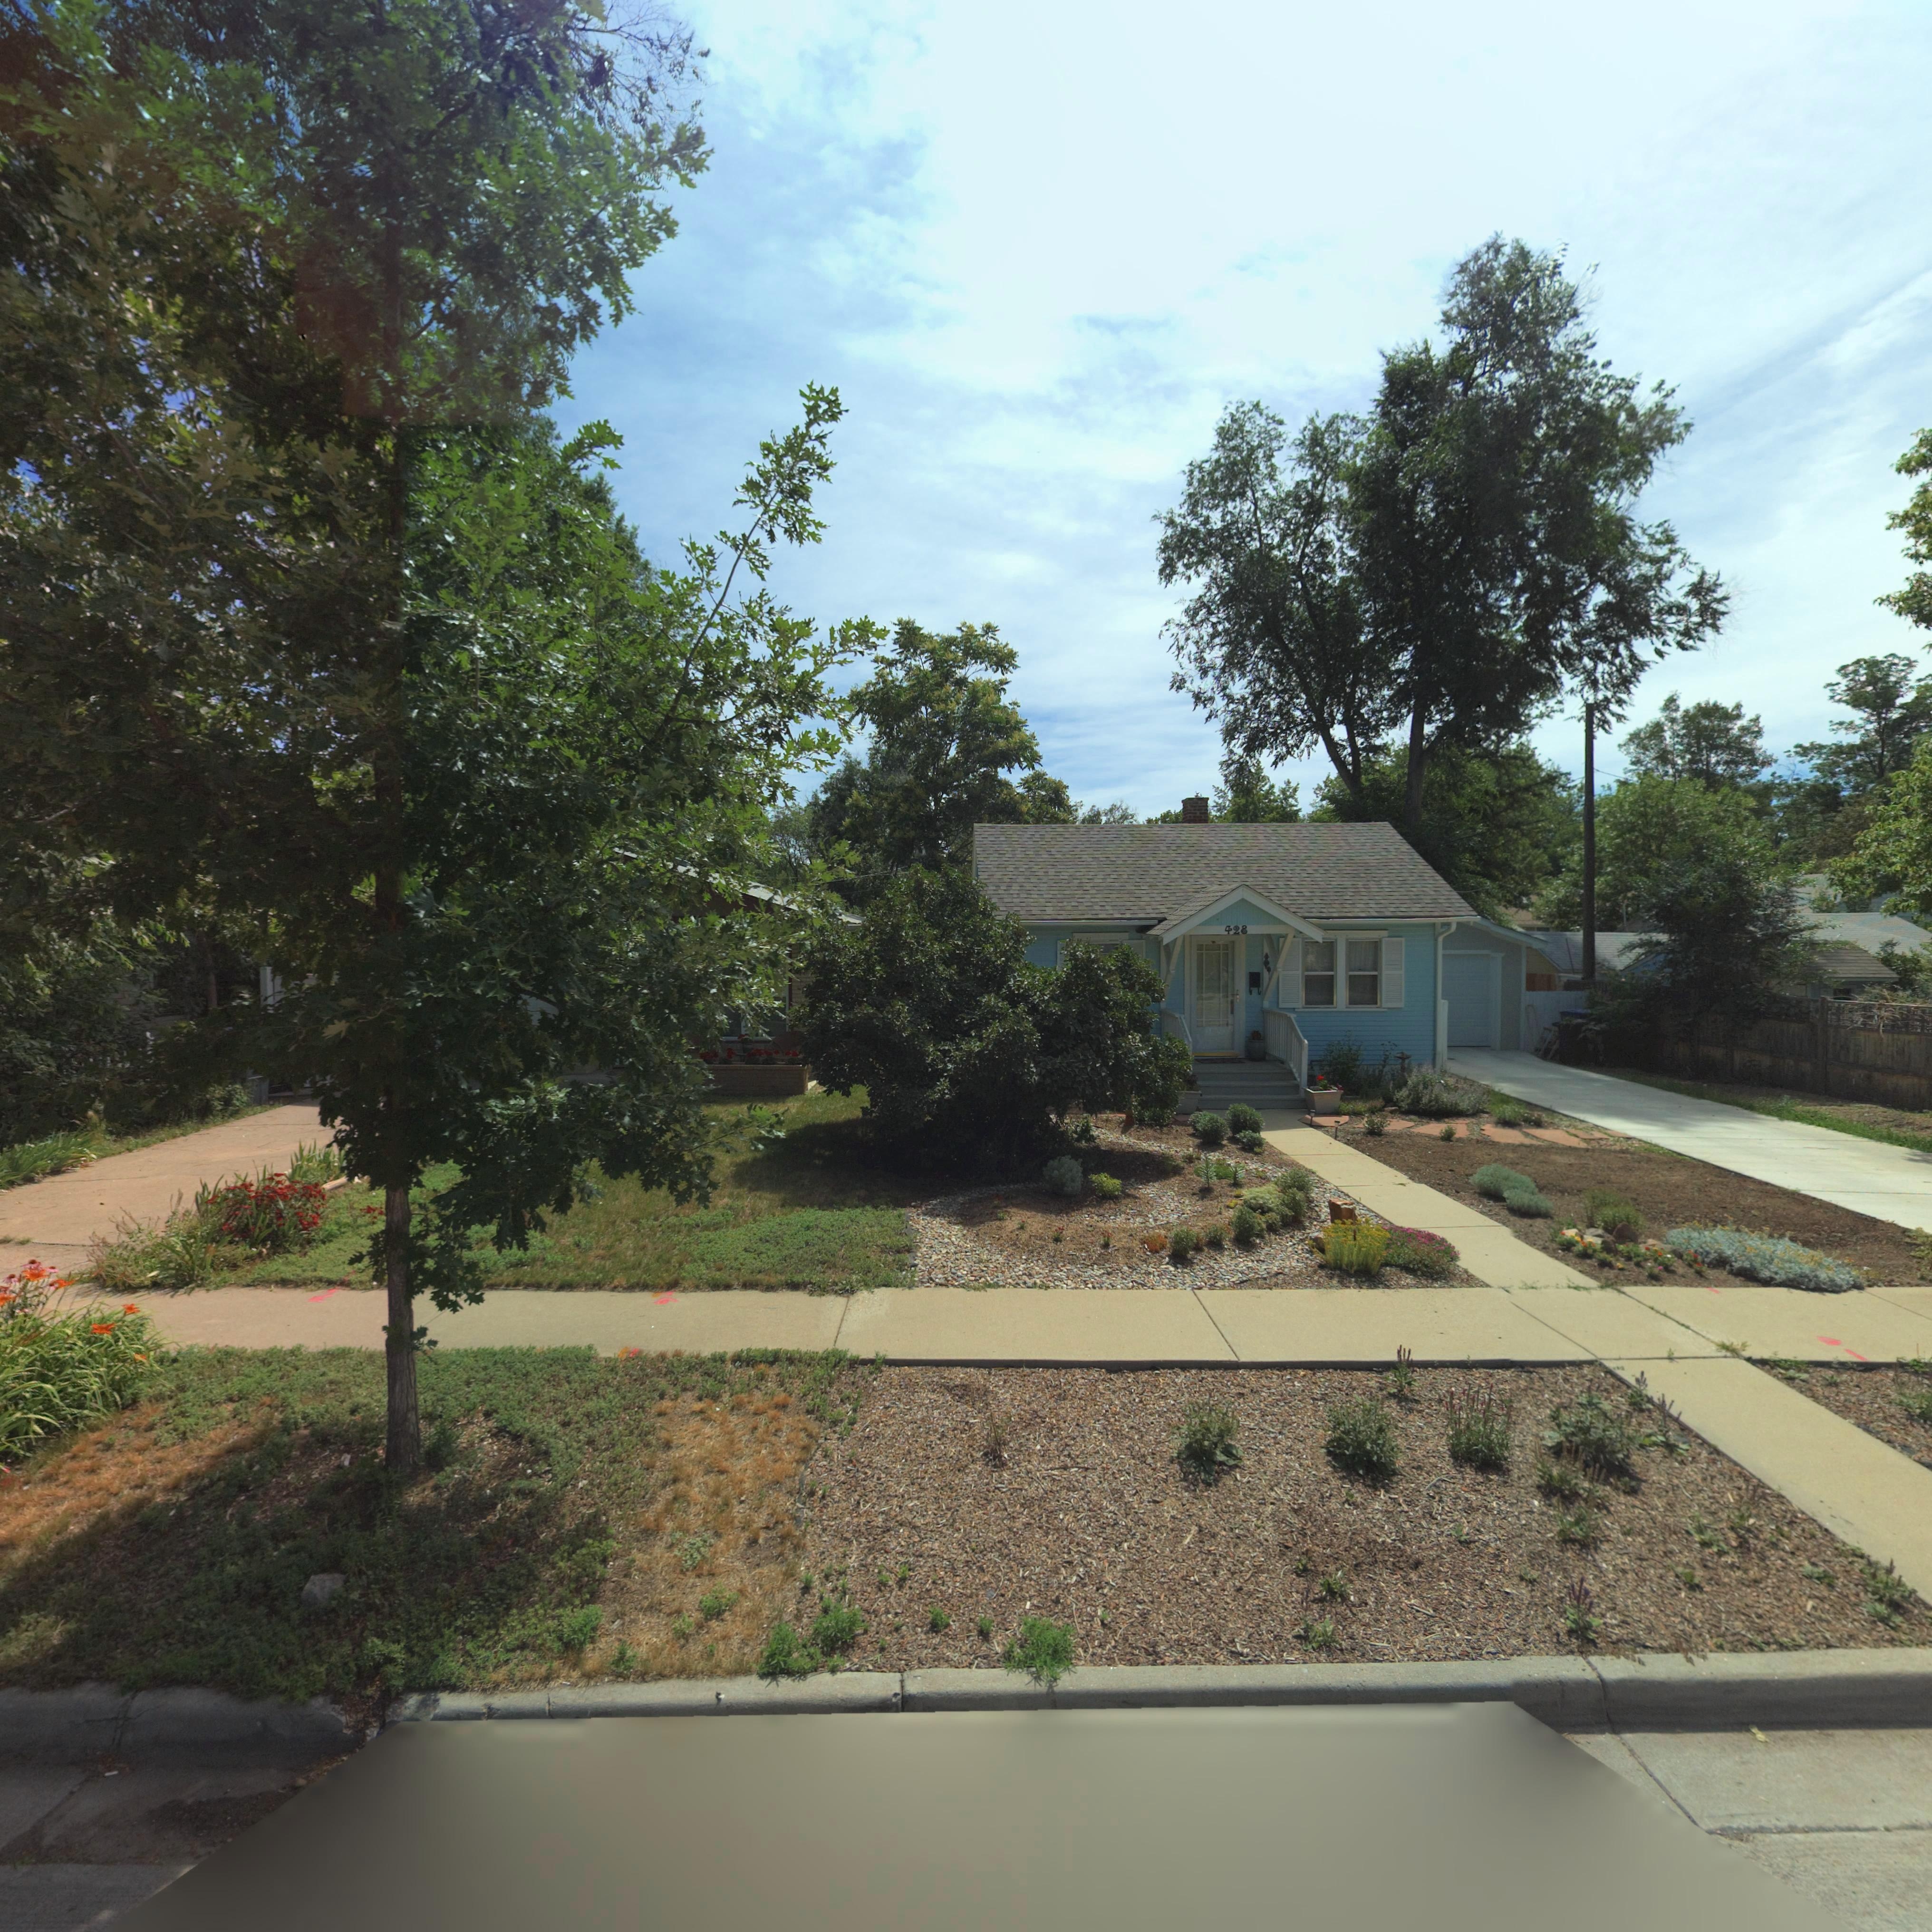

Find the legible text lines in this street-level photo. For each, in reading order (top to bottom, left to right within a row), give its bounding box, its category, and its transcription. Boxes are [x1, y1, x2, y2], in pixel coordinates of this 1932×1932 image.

[1224, 925, 1247, 935] StreetNumber: 428